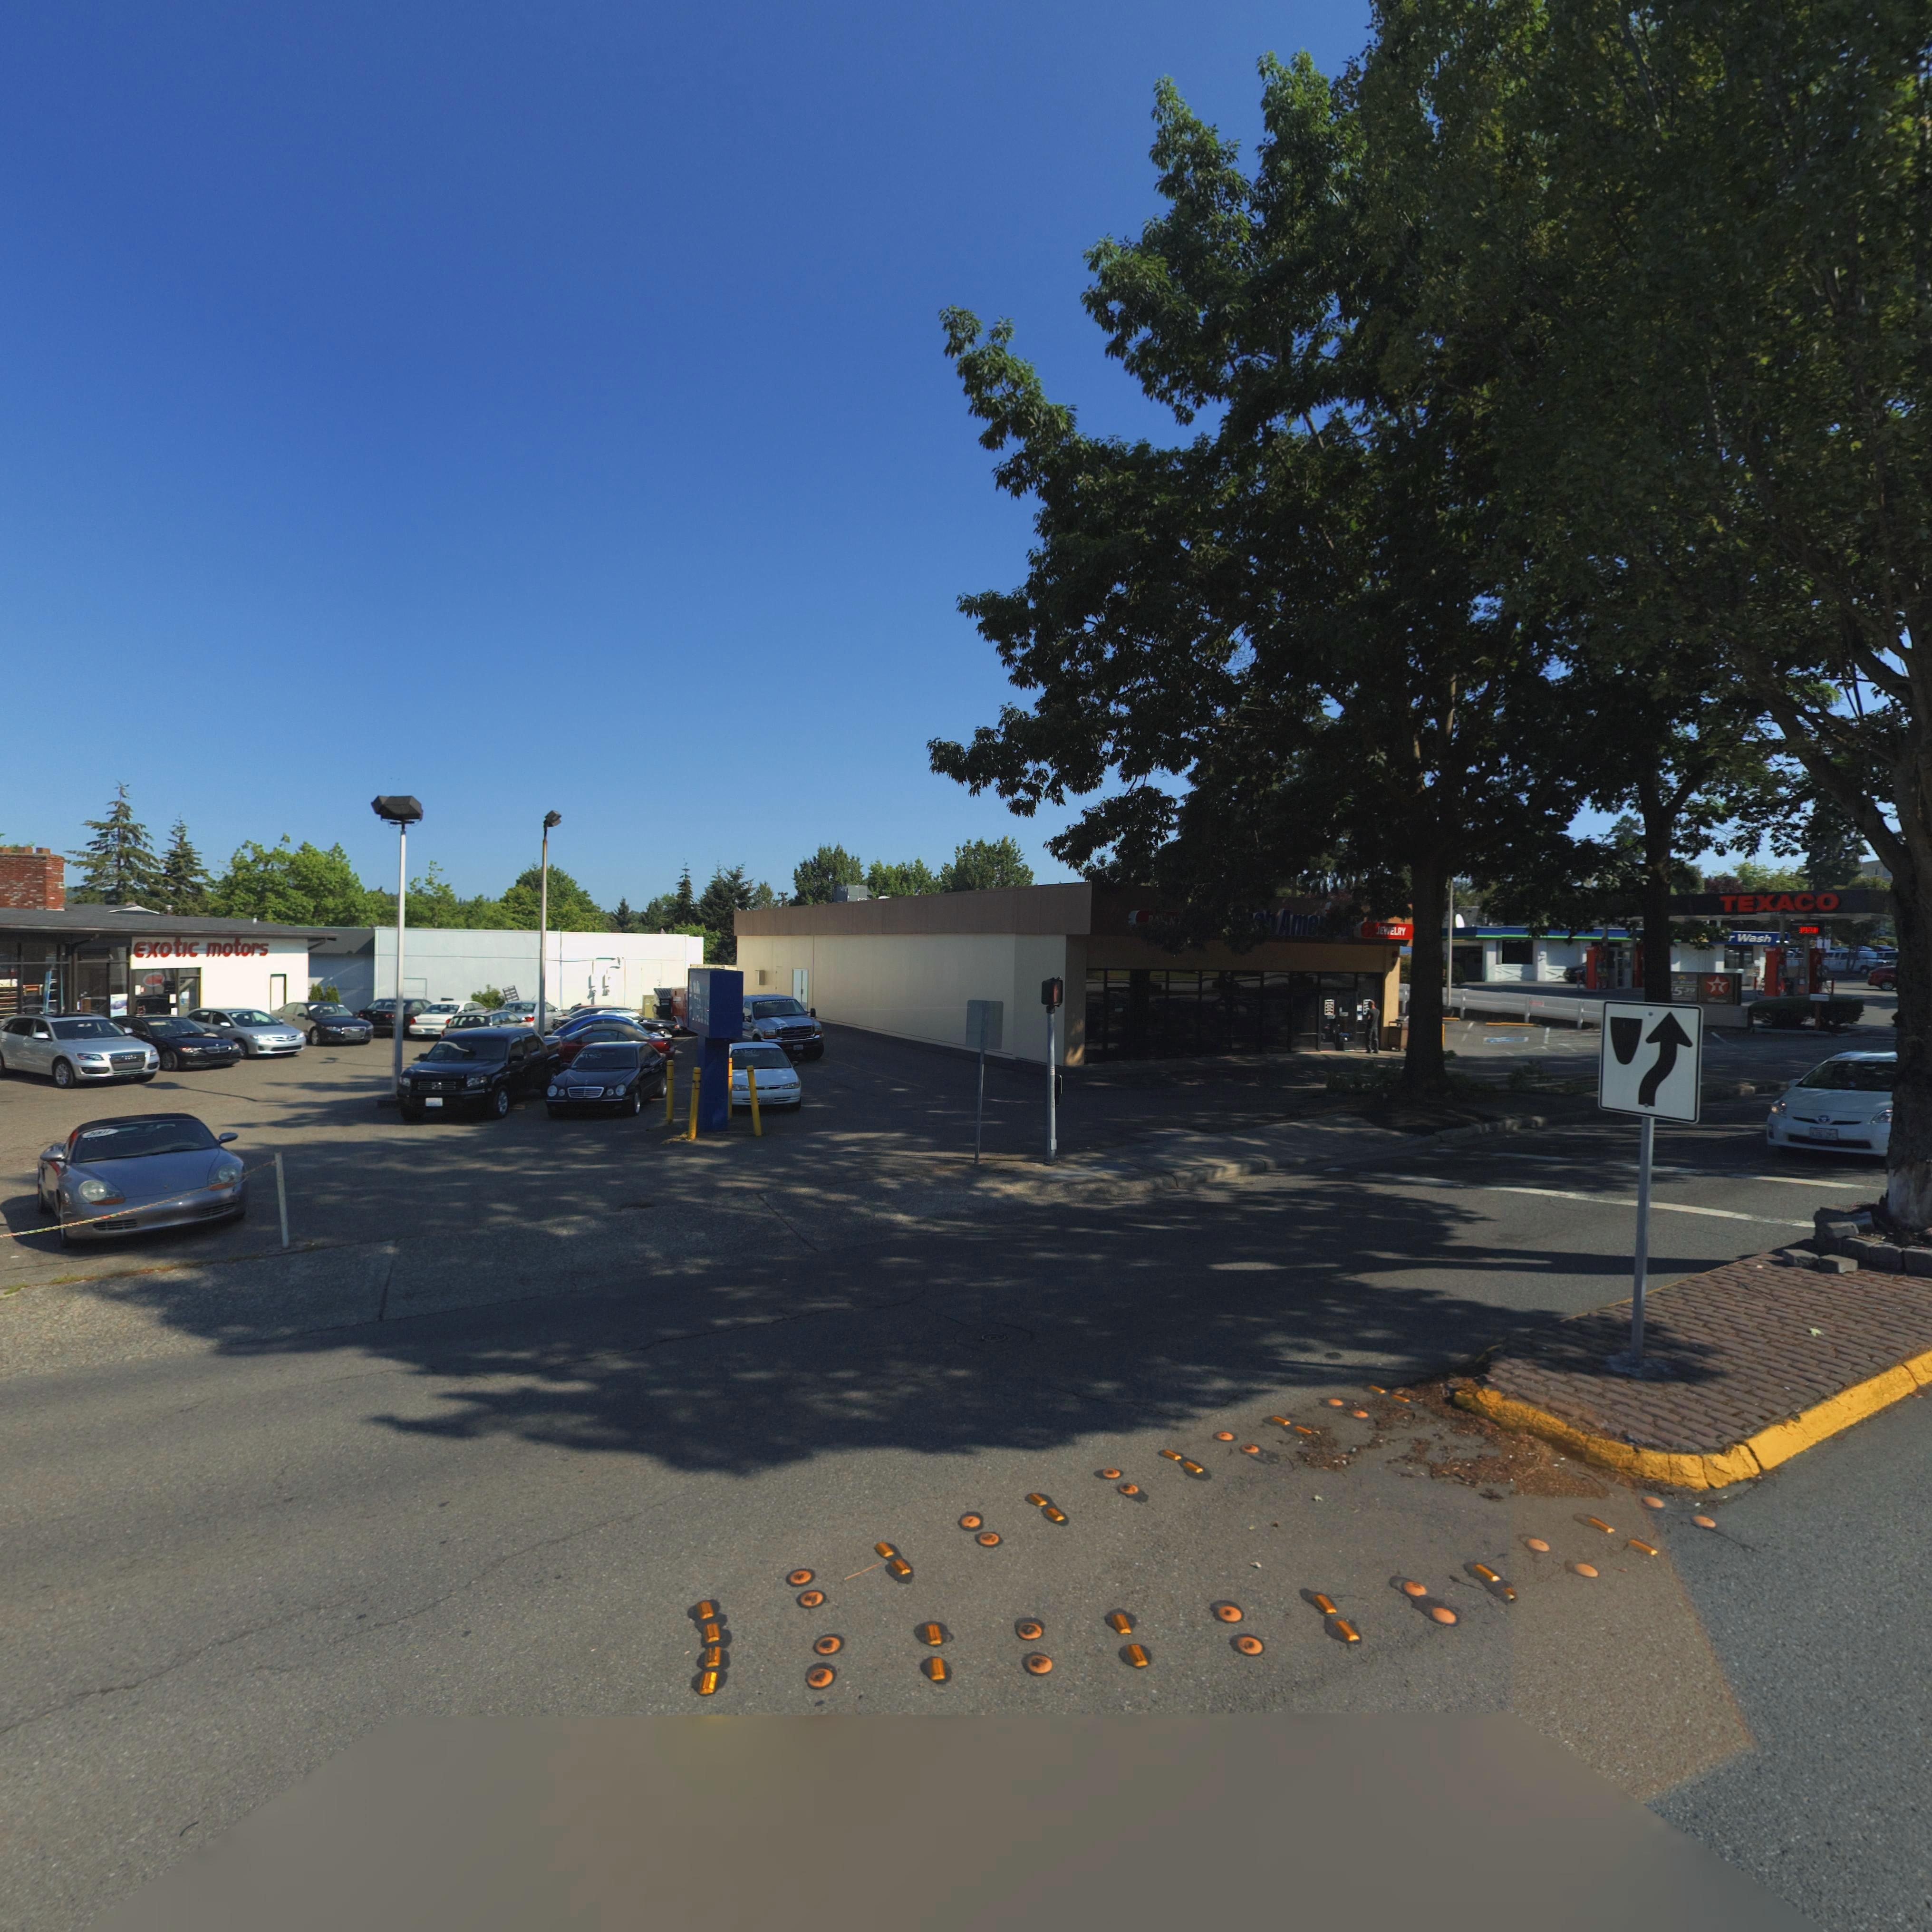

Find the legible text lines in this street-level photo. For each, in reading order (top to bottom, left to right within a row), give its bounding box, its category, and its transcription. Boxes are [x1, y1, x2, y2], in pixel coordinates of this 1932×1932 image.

[1720, 893, 1837, 911] BusinessName: TEXACO
[132, 936, 270, 957] BusinessName: Exotic motors
[1737, 933, 1771, 942] BusinessName: Wash